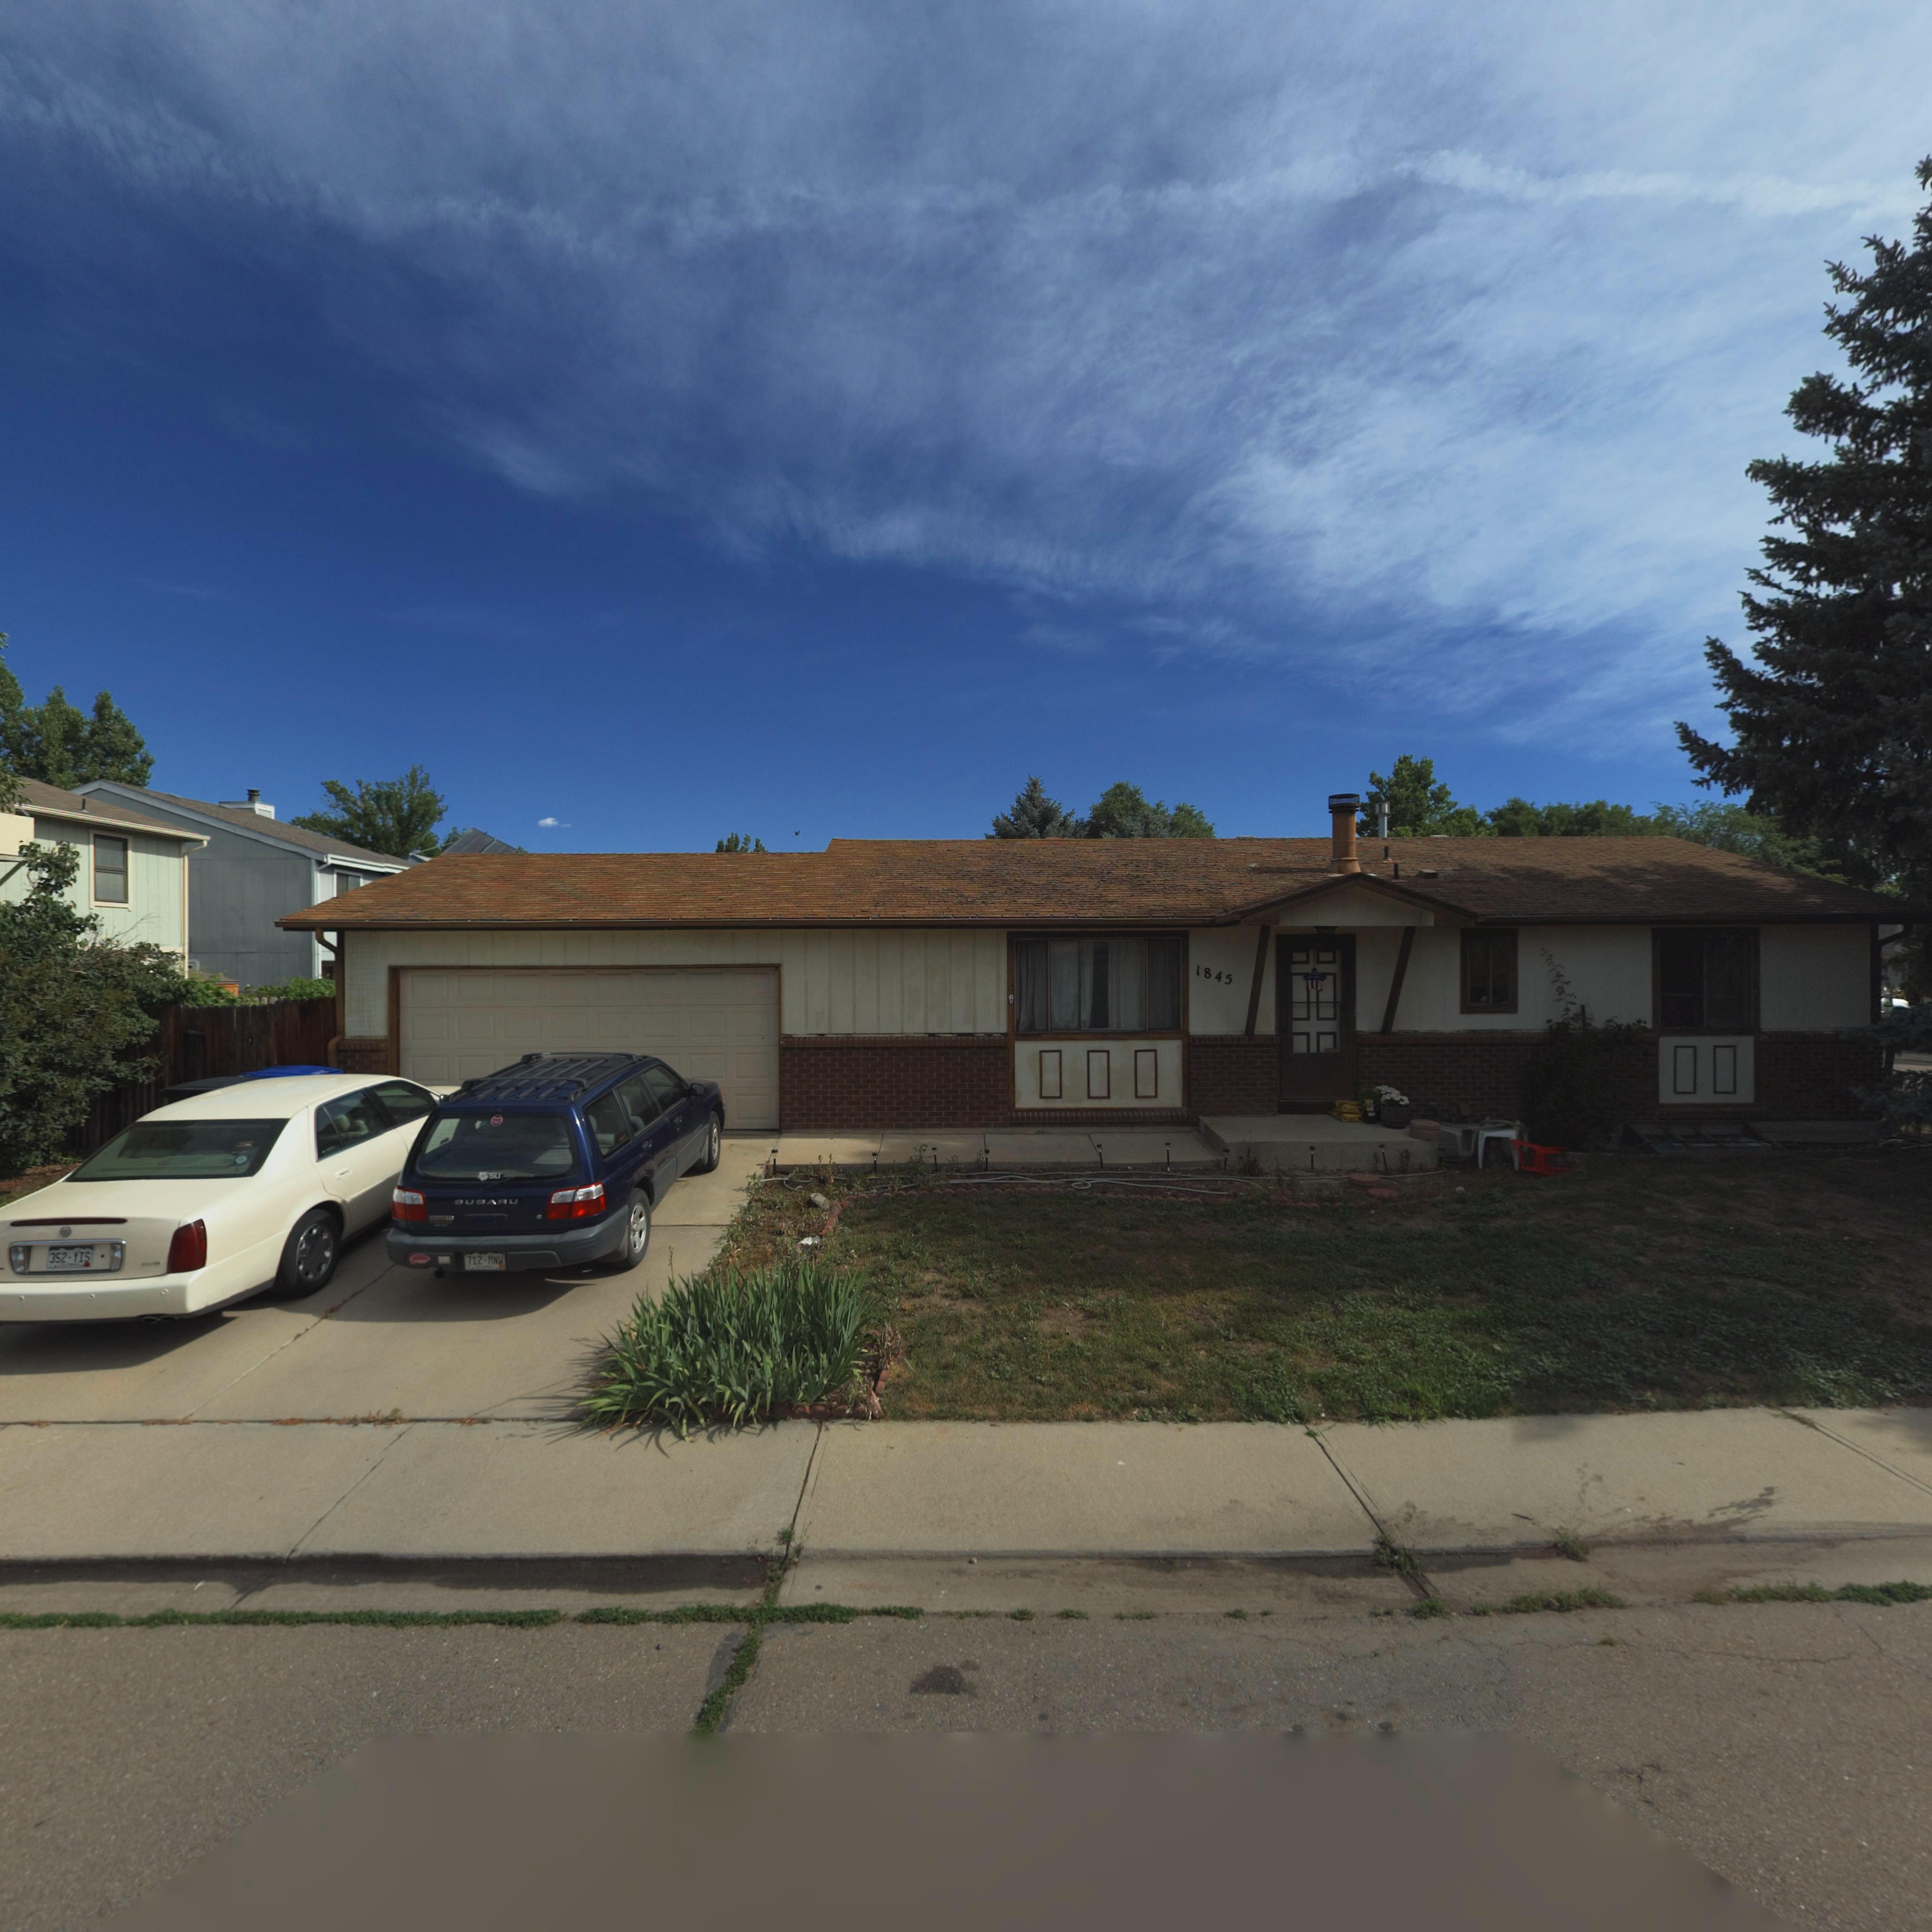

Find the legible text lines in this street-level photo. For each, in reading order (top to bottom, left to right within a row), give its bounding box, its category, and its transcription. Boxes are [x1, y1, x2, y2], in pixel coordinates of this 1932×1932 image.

[1196, 965, 1233, 985] StreetNumber: 1845